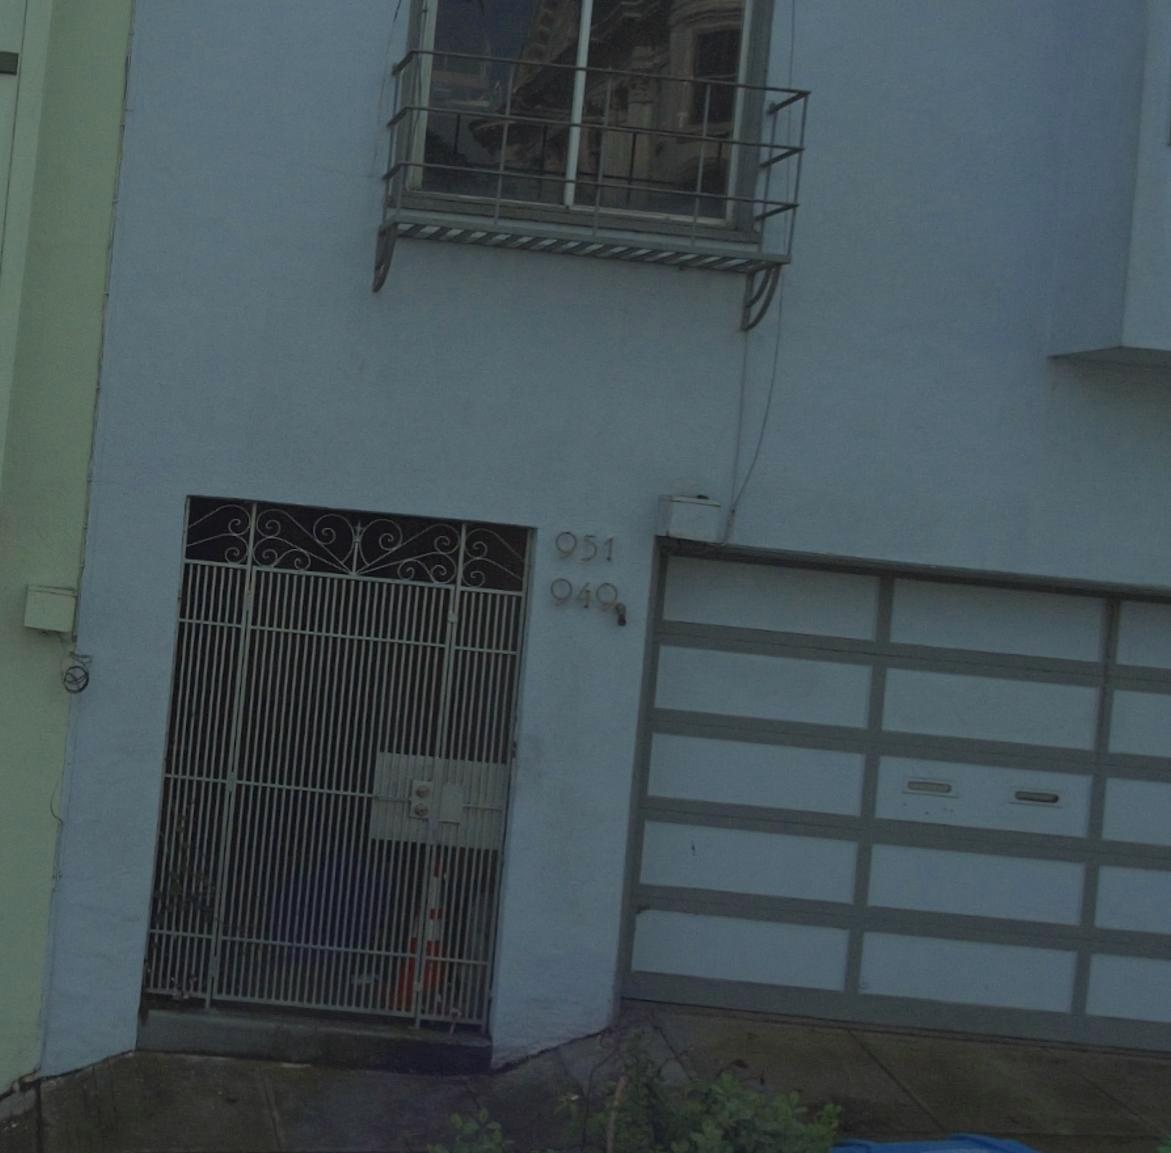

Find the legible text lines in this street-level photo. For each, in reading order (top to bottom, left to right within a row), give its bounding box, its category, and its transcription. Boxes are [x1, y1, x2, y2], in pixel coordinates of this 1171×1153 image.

[552, 527, 617, 567] StreetNumber: 951
[547, 573, 622, 615] StreetNumber: 949